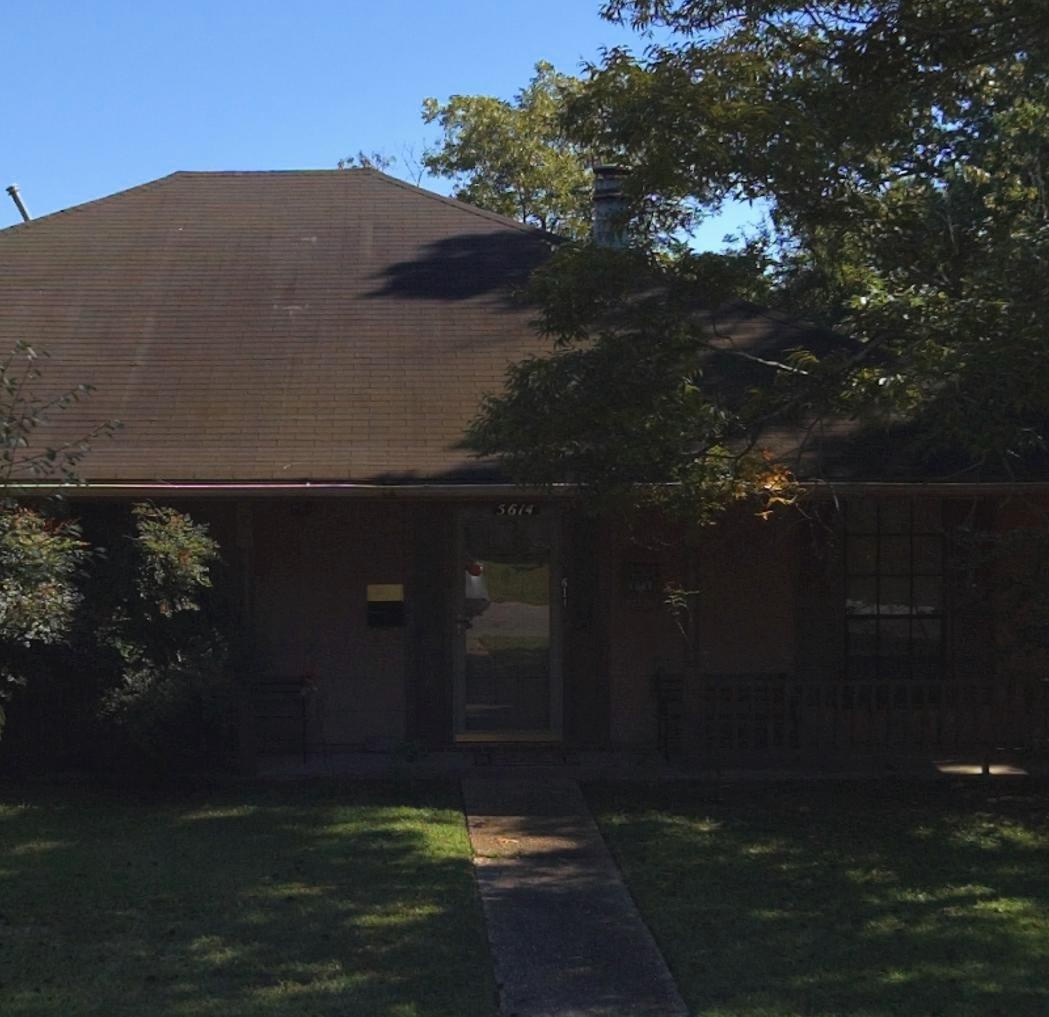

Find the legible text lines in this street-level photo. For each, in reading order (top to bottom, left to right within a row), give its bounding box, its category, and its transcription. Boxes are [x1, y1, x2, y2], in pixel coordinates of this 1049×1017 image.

[495, 502, 536, 518] StreetNumber: 5614
[560, 566, 570, 609] StreetNumber: 5614